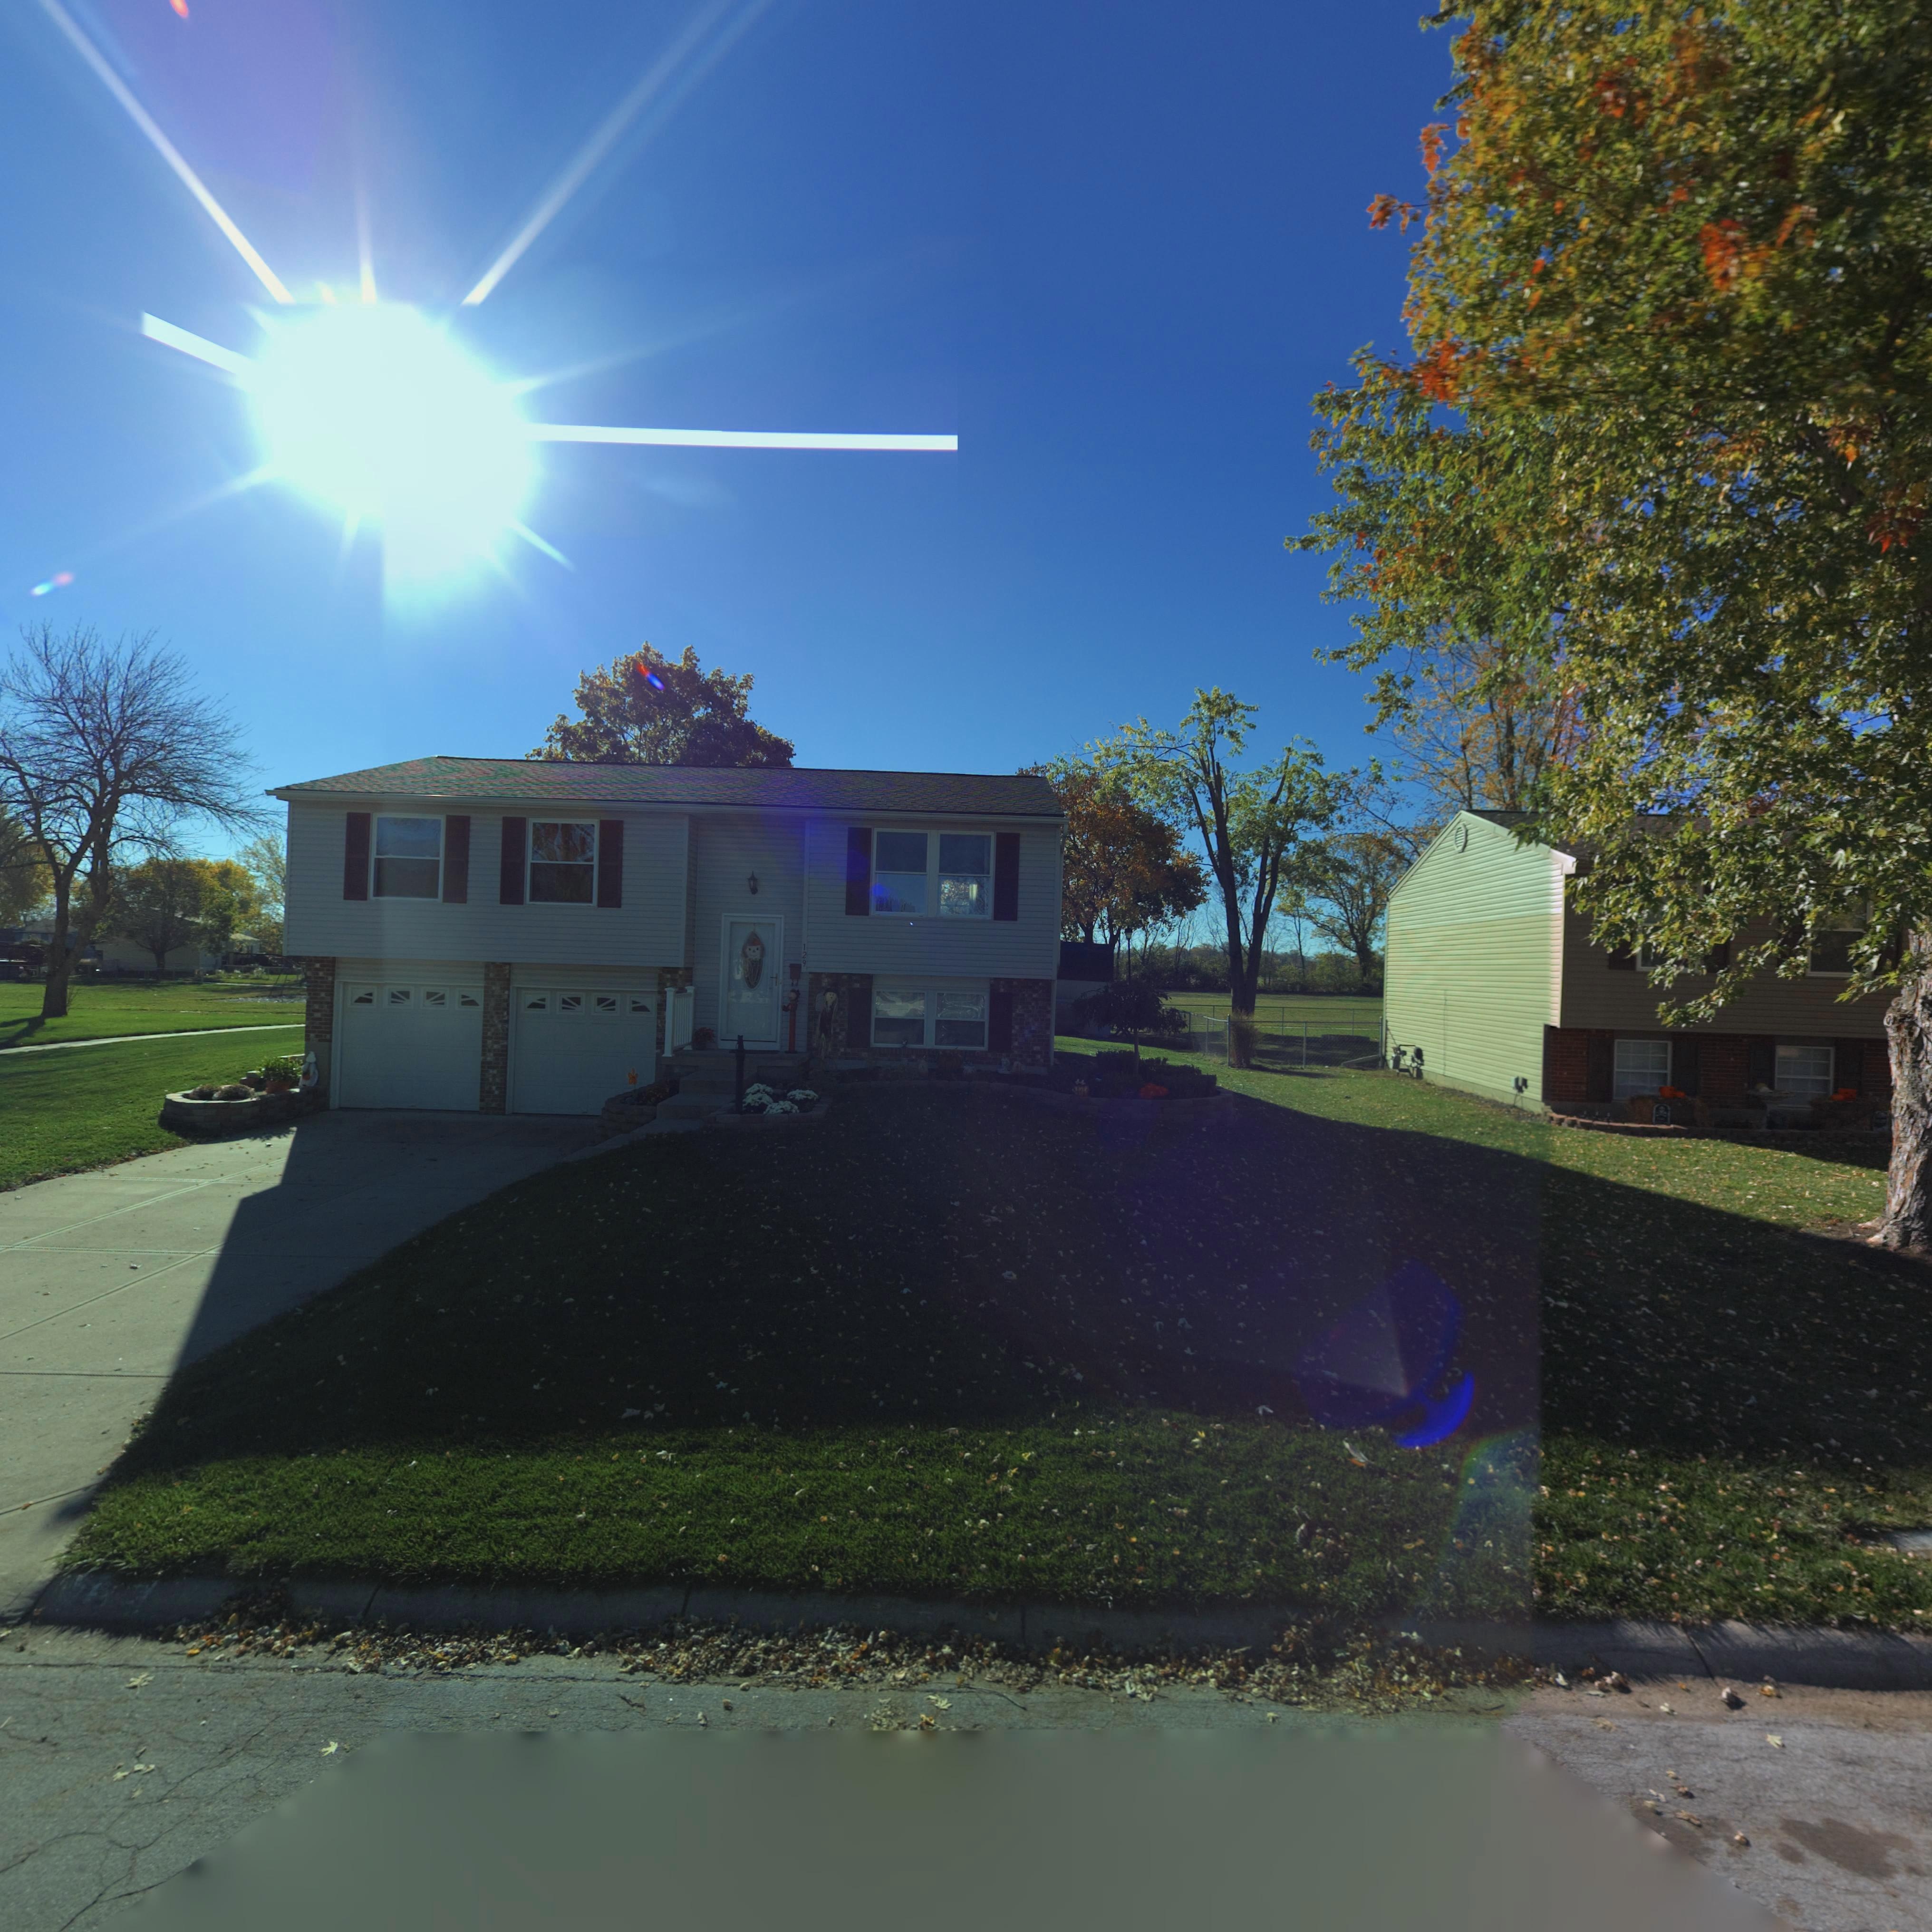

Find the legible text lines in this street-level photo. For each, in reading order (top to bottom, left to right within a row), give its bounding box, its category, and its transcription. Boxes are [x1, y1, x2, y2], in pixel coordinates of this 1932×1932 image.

[801, 943, 807, 968] StreetNumber: 129